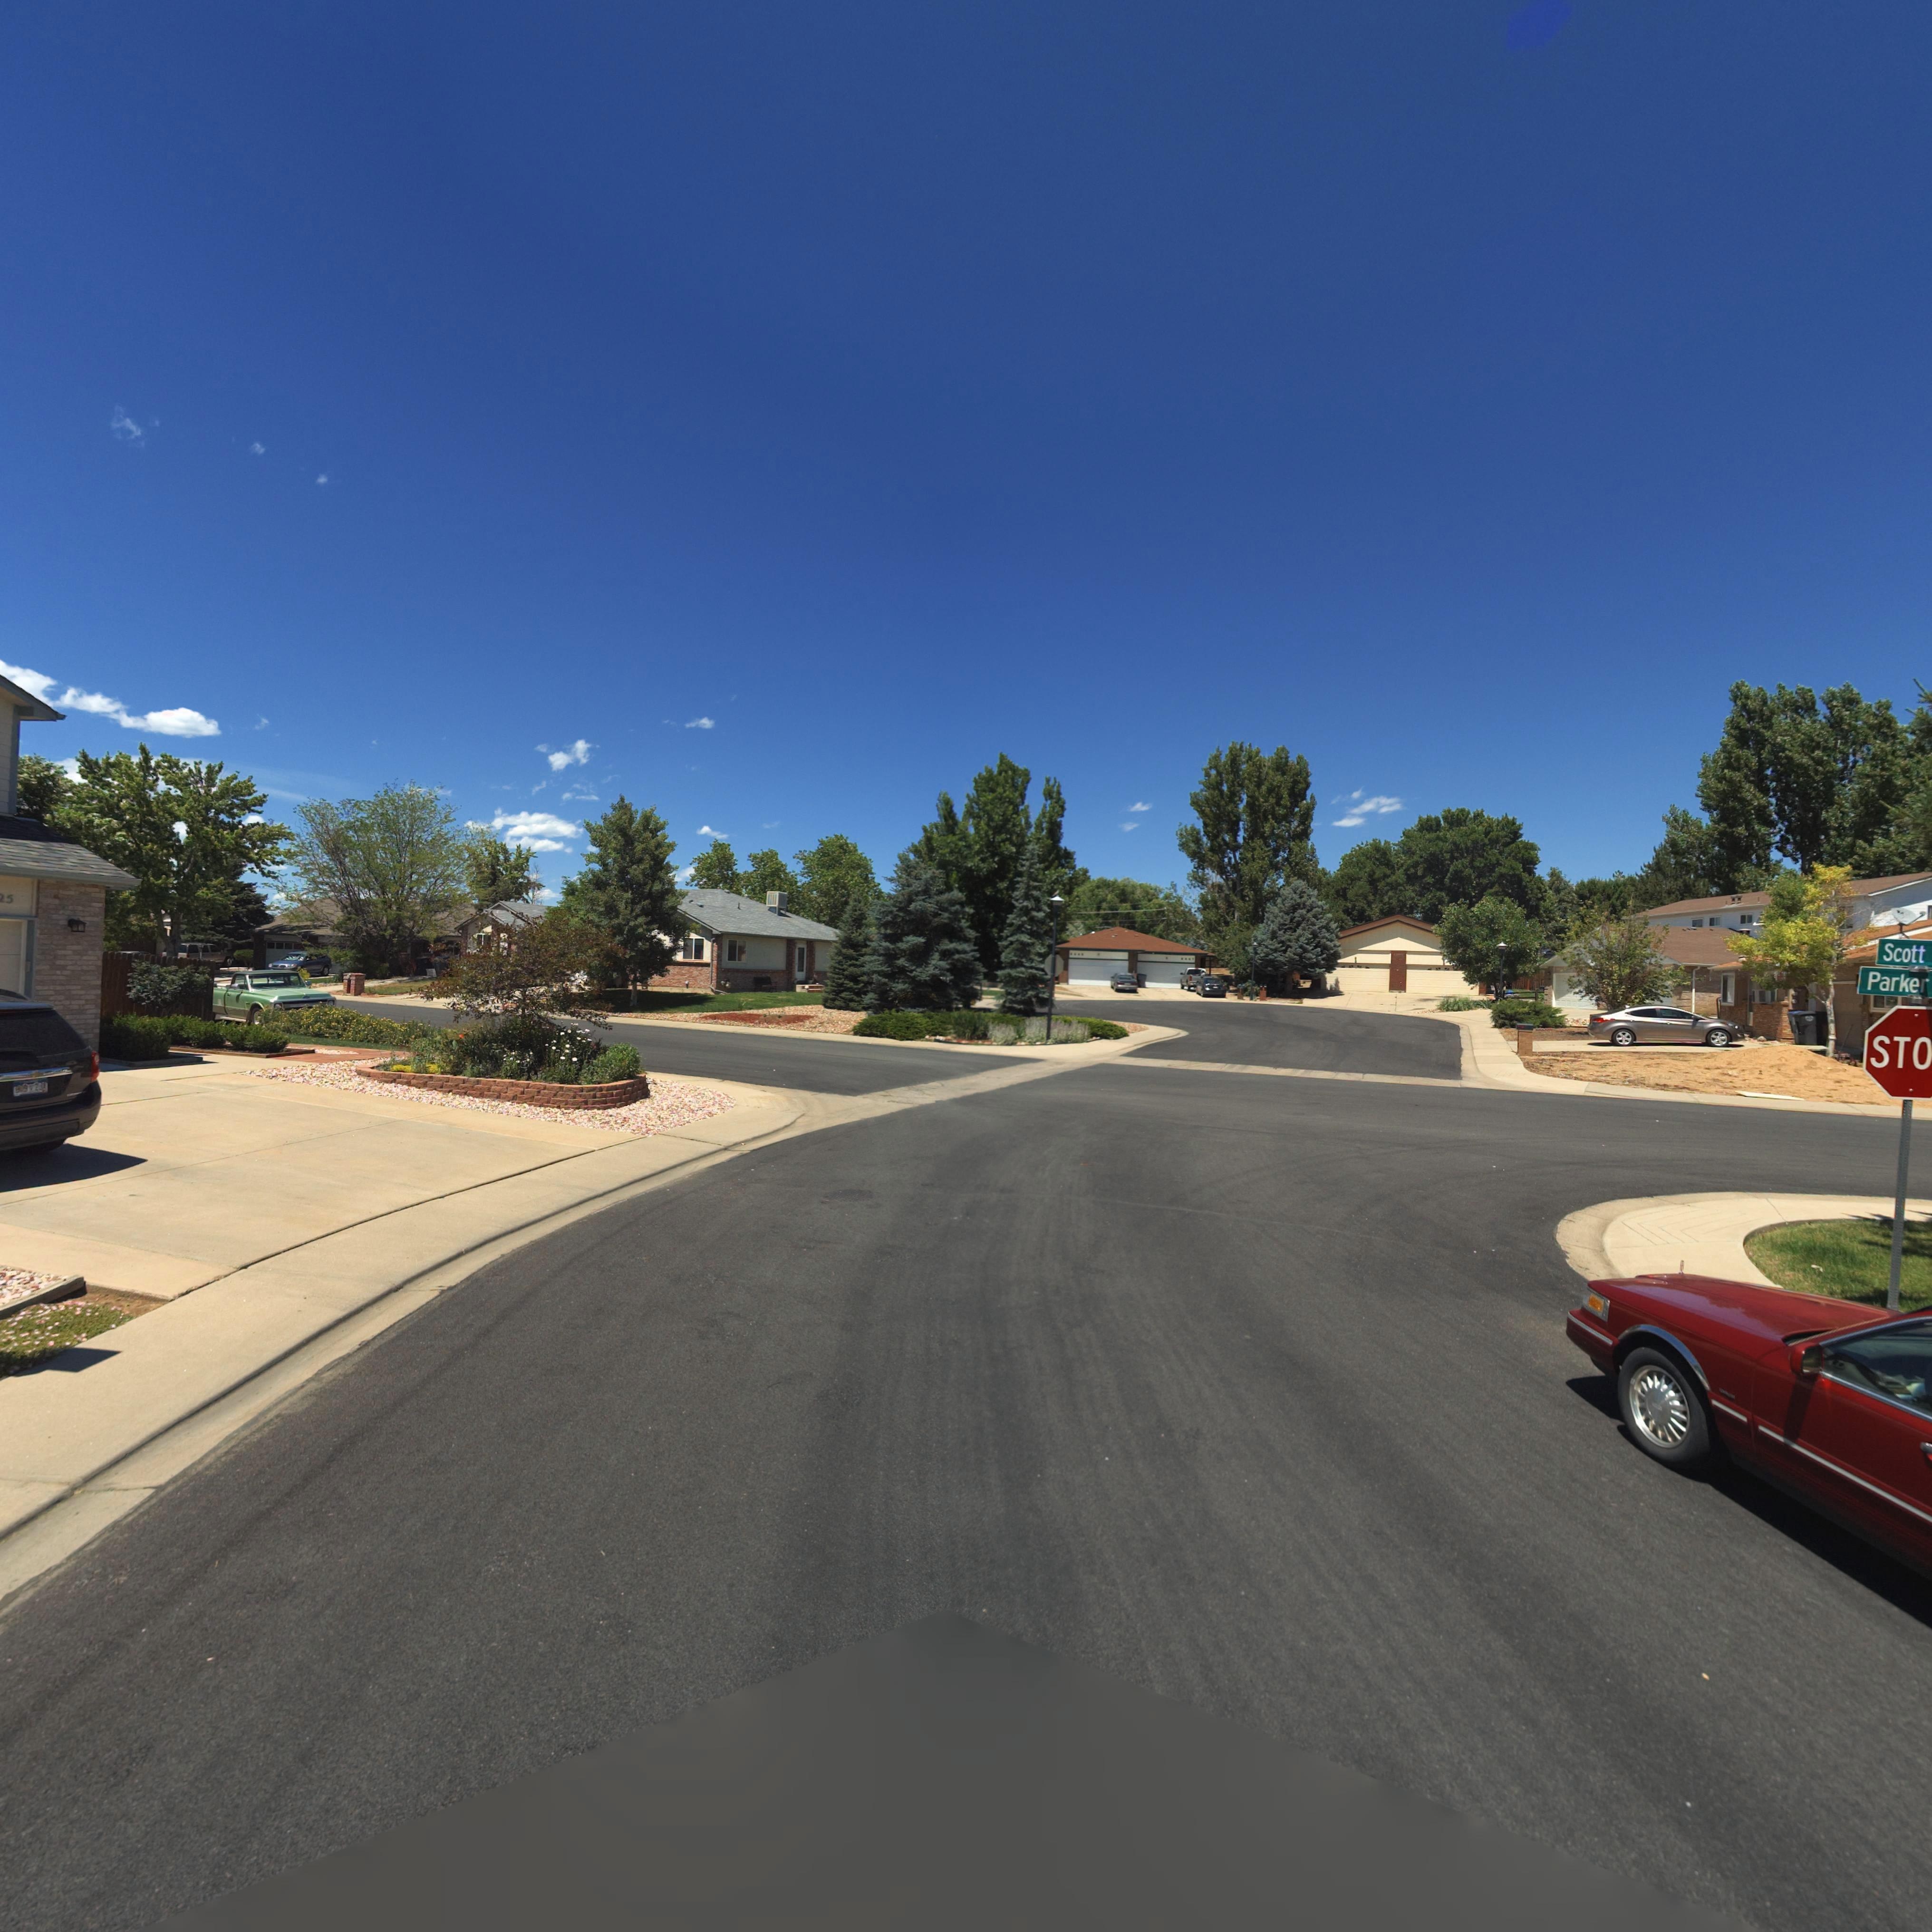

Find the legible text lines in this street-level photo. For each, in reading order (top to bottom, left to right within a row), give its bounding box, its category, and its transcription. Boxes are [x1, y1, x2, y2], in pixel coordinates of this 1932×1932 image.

[6, 894, 14, 903] StreetNumber: 5
[1883, 942, 1926, 964] StreetName: Scott
[1866, 971, 1929, 994] StreetName: Parker 